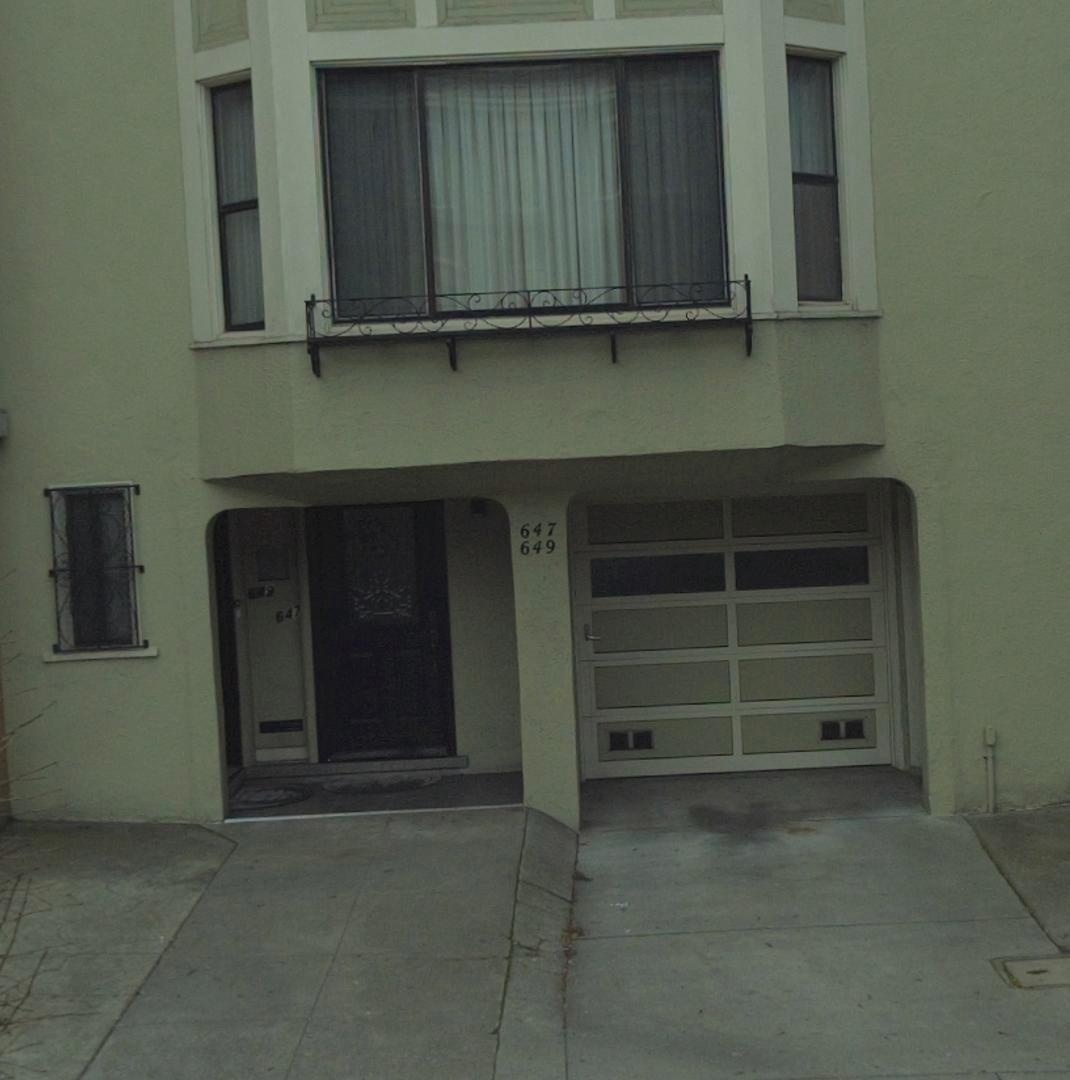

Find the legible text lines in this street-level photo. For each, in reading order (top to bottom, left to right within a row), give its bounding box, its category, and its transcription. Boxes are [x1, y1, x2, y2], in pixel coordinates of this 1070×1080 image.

[519, 521, 556, 539] StreetNumber: 647
[520, 538, 556, 555] StreetNumber: 649
[275, 602, 302, 625] StreetNumber: 647